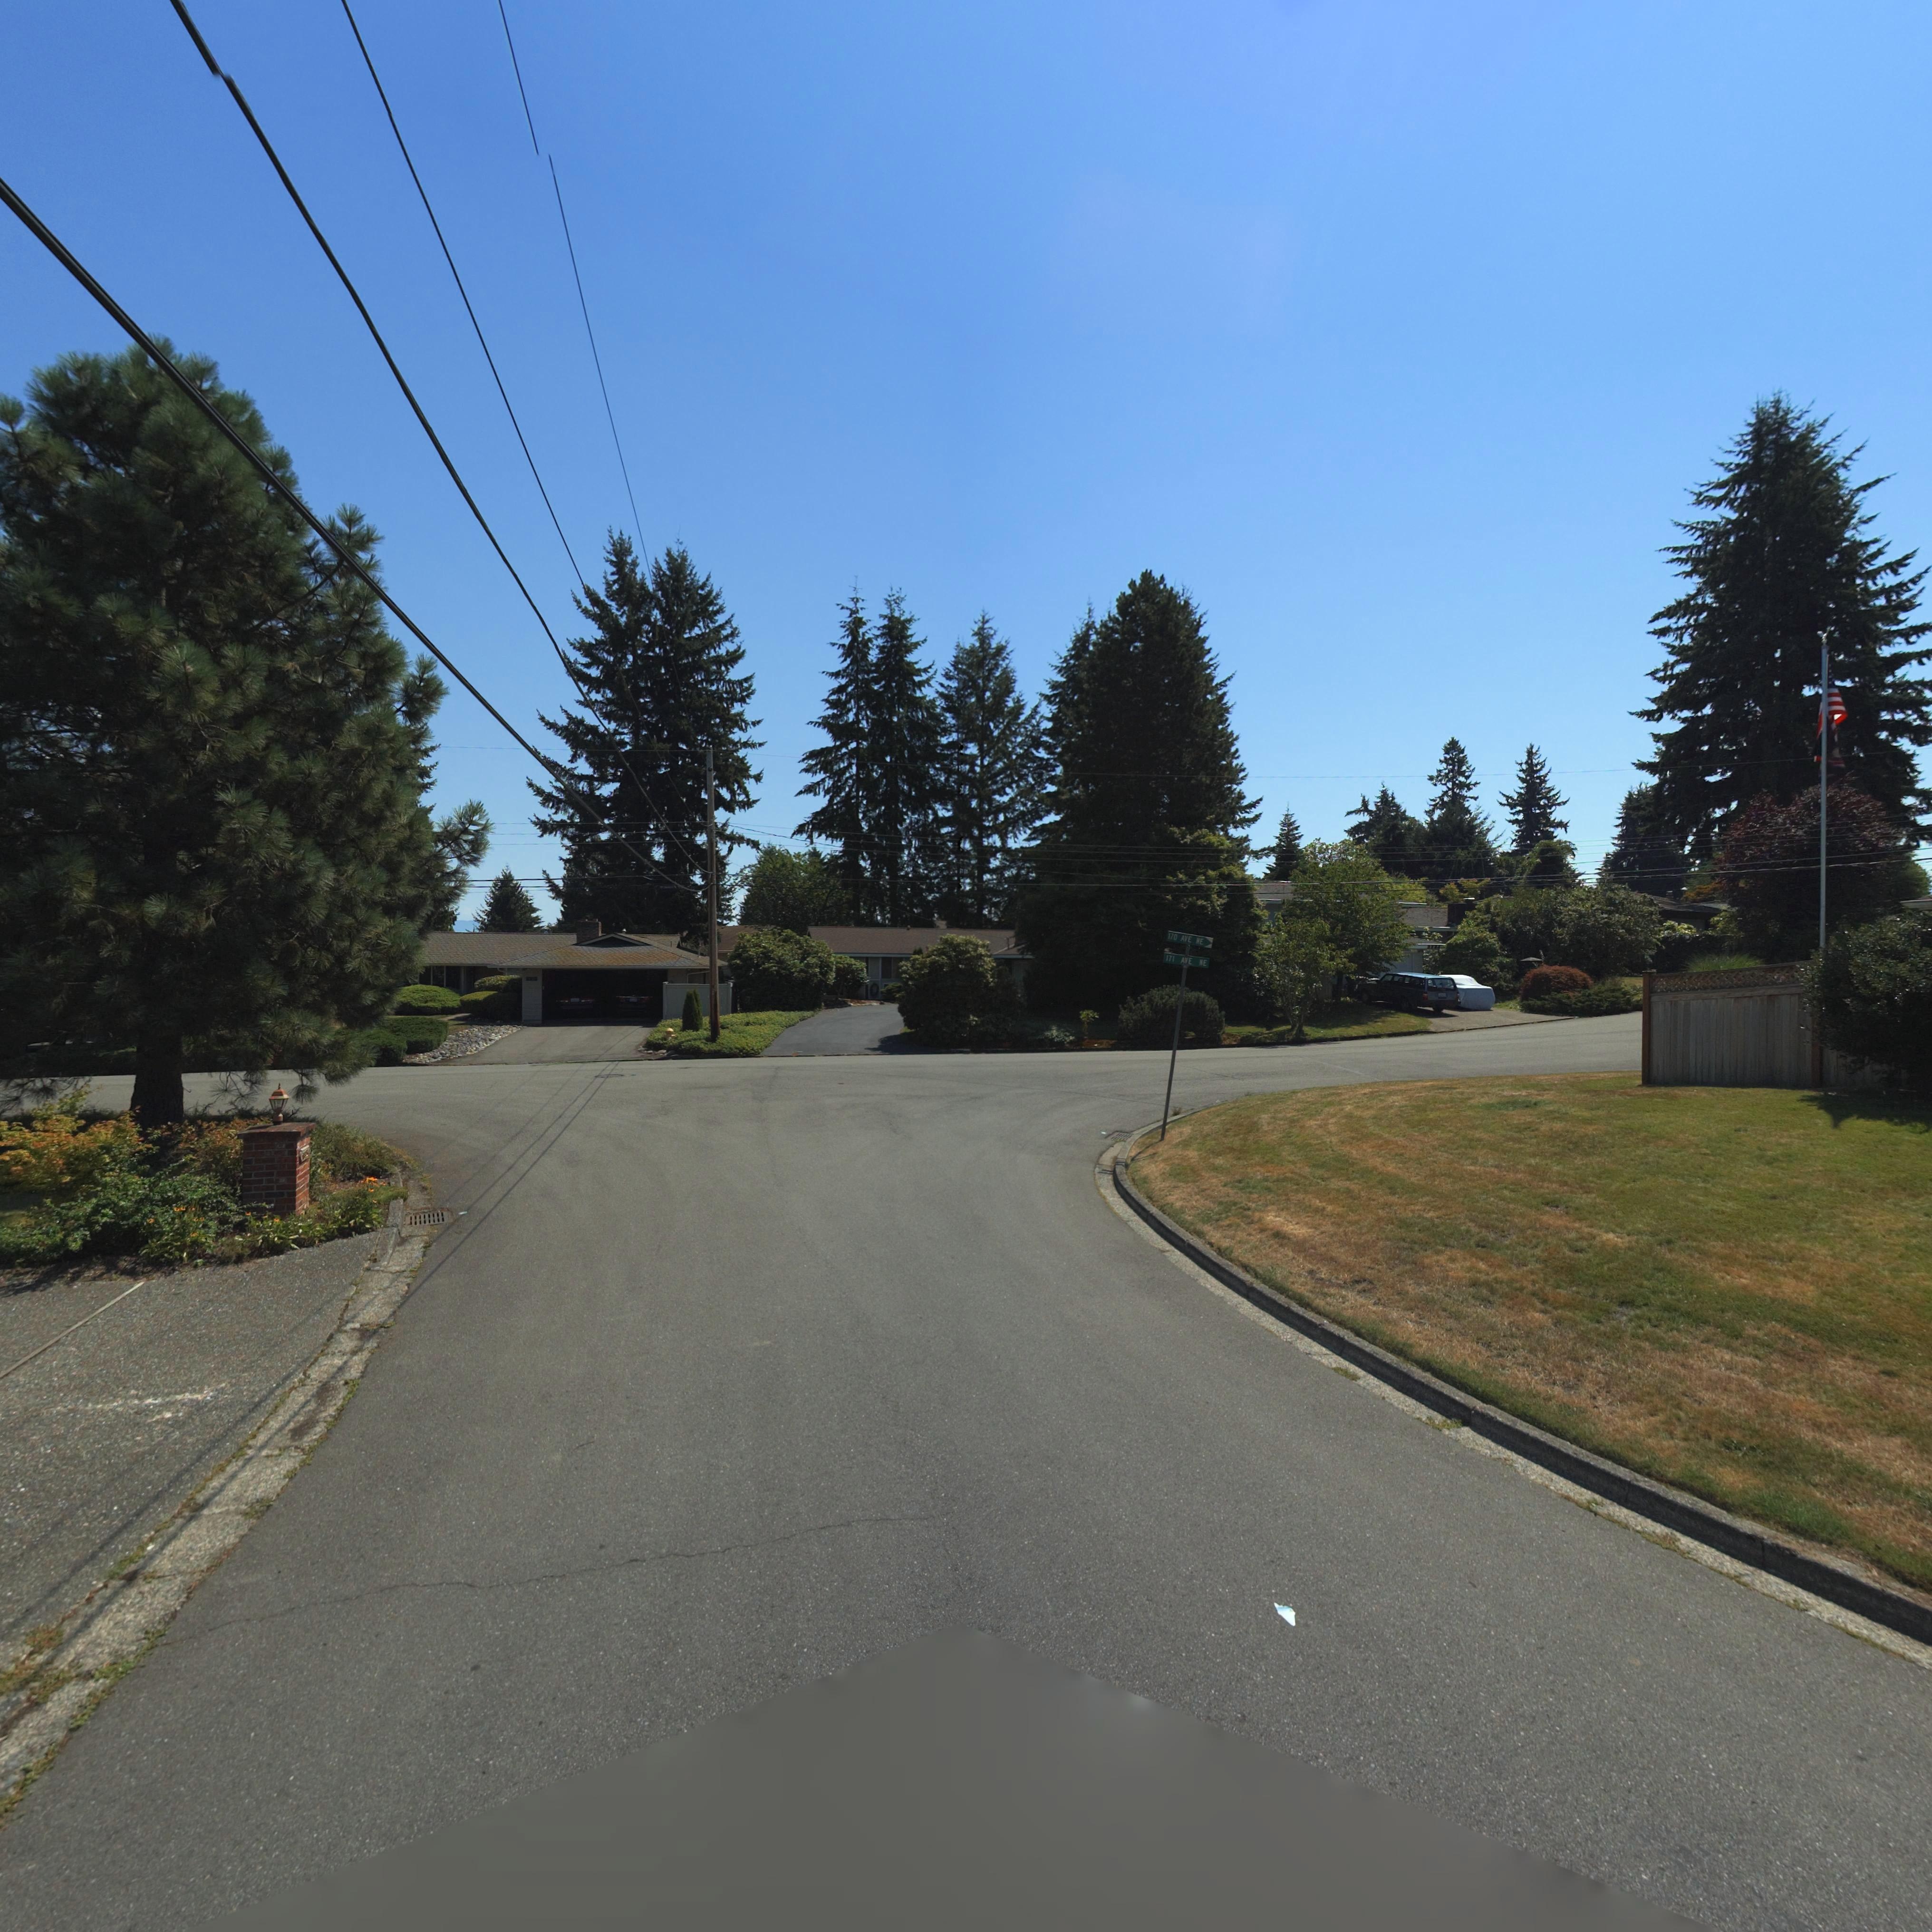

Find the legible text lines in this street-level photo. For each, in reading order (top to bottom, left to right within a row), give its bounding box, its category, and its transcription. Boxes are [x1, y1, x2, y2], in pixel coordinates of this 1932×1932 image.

[1168, 933, 1203, 945] StreetName: 170 AVE NE
[1165, 955, 1207, 967] StreetName: 171 AVE NE